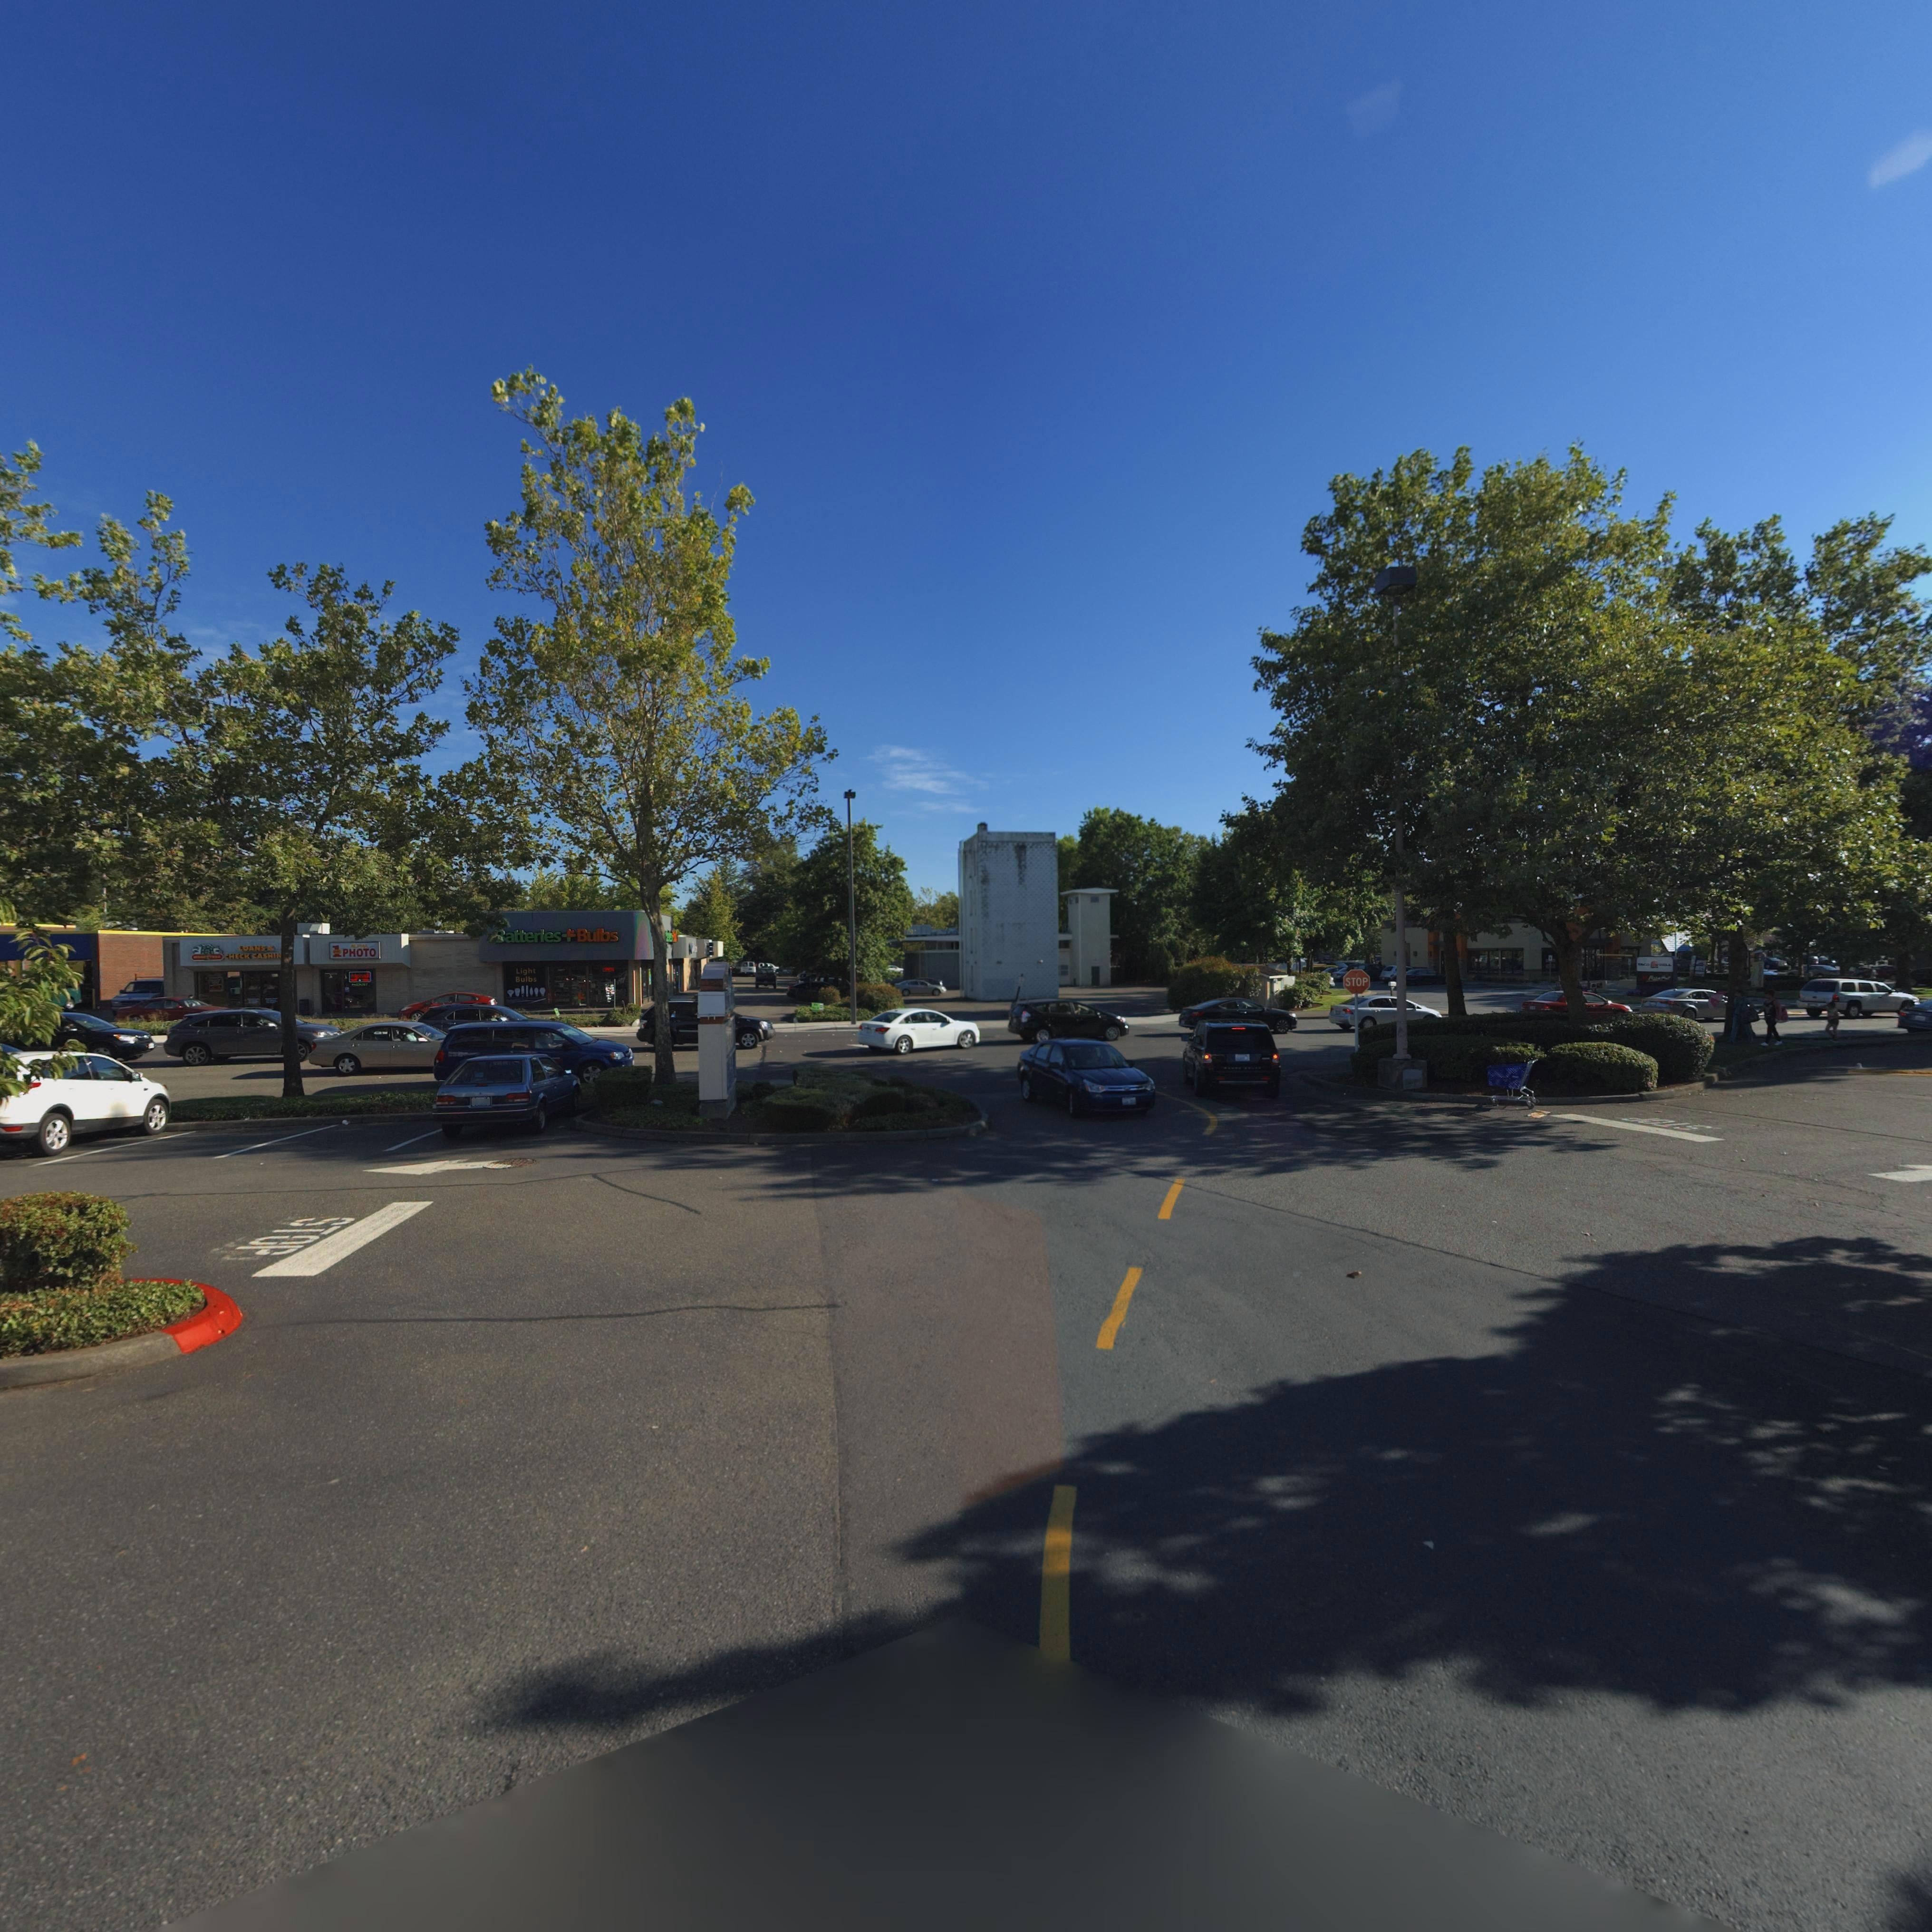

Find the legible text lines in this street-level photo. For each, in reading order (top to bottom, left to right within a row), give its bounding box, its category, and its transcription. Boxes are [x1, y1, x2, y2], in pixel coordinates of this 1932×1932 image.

[505, 927, 619, 944] BusinessName: atteries*Bulbs
[238, 945, 265, 951] BusinessName: LOANS
[331, 944, 377, 958] BusinessName: 1 PHOTO
[223, 952, 281, 960] BusinessName: CHECK CASHIN
[515, 967, 536, 976] None: Light
[515, 976, 537, 983] None: Bulbs
[1345, 976, 1368, 986] None: STOP